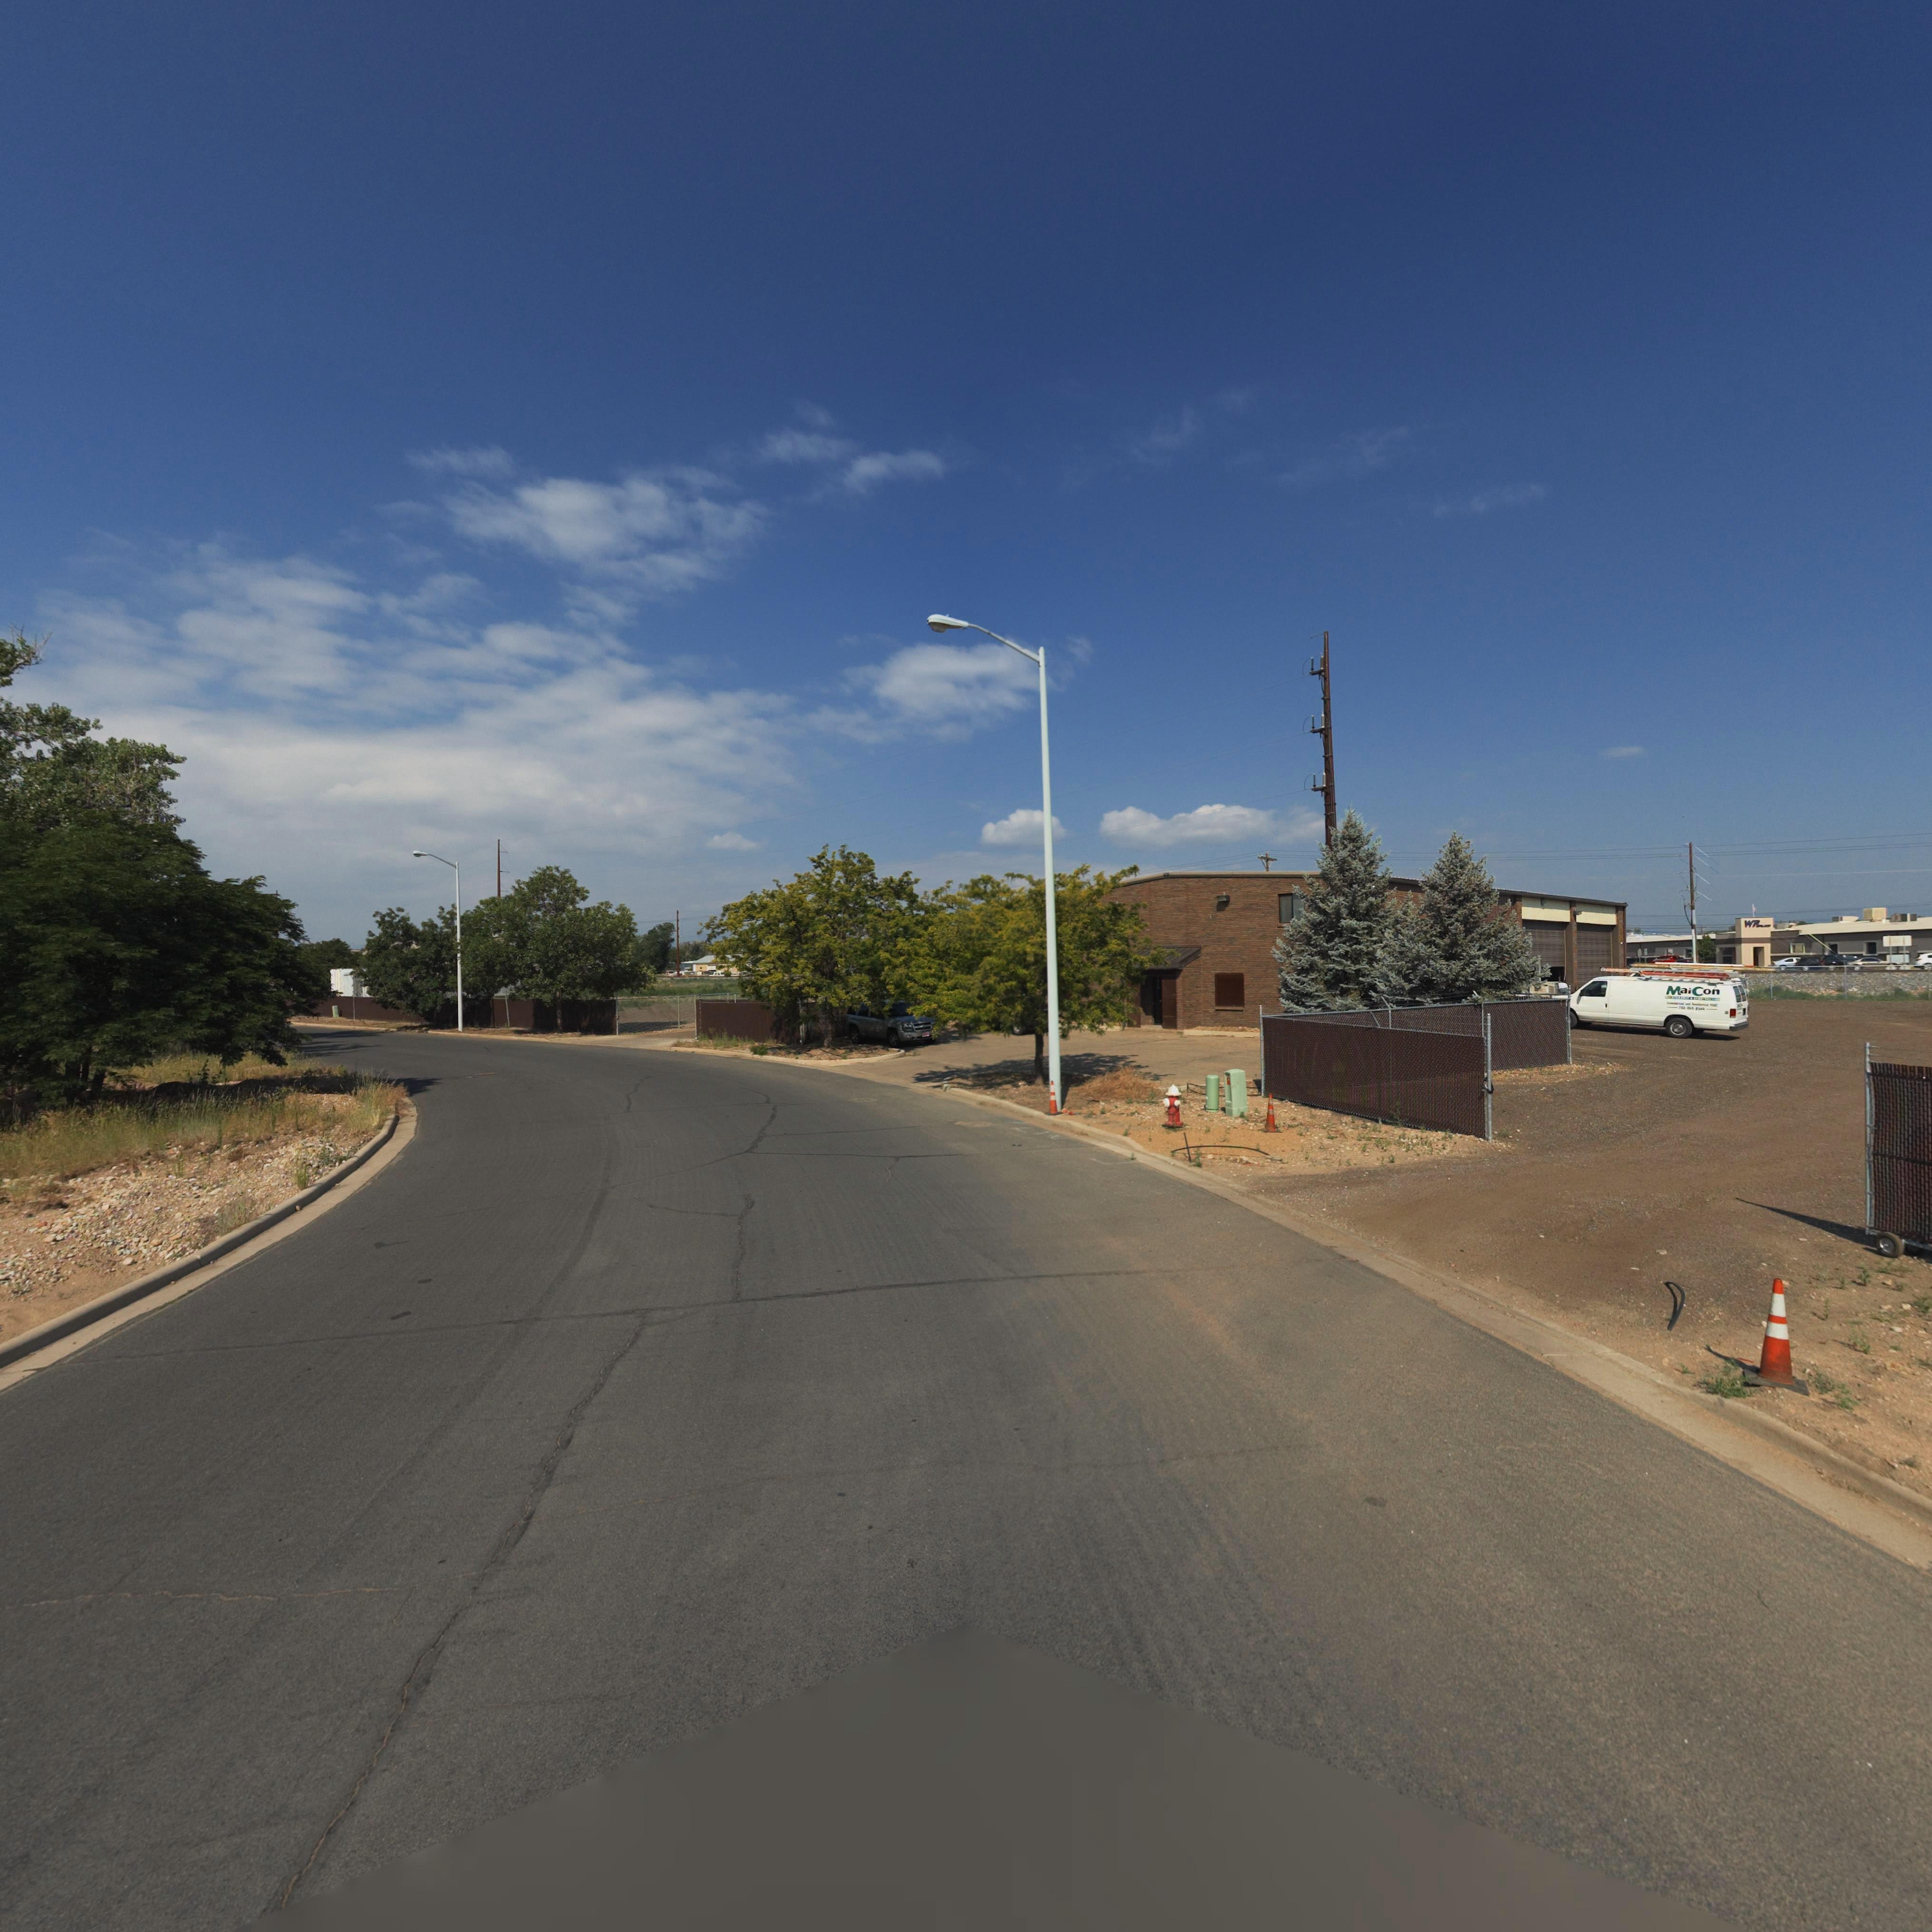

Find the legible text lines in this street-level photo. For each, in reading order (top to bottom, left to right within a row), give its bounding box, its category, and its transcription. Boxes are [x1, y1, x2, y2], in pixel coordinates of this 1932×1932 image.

[1744, 919, 1760, 927] BusinessName: WP